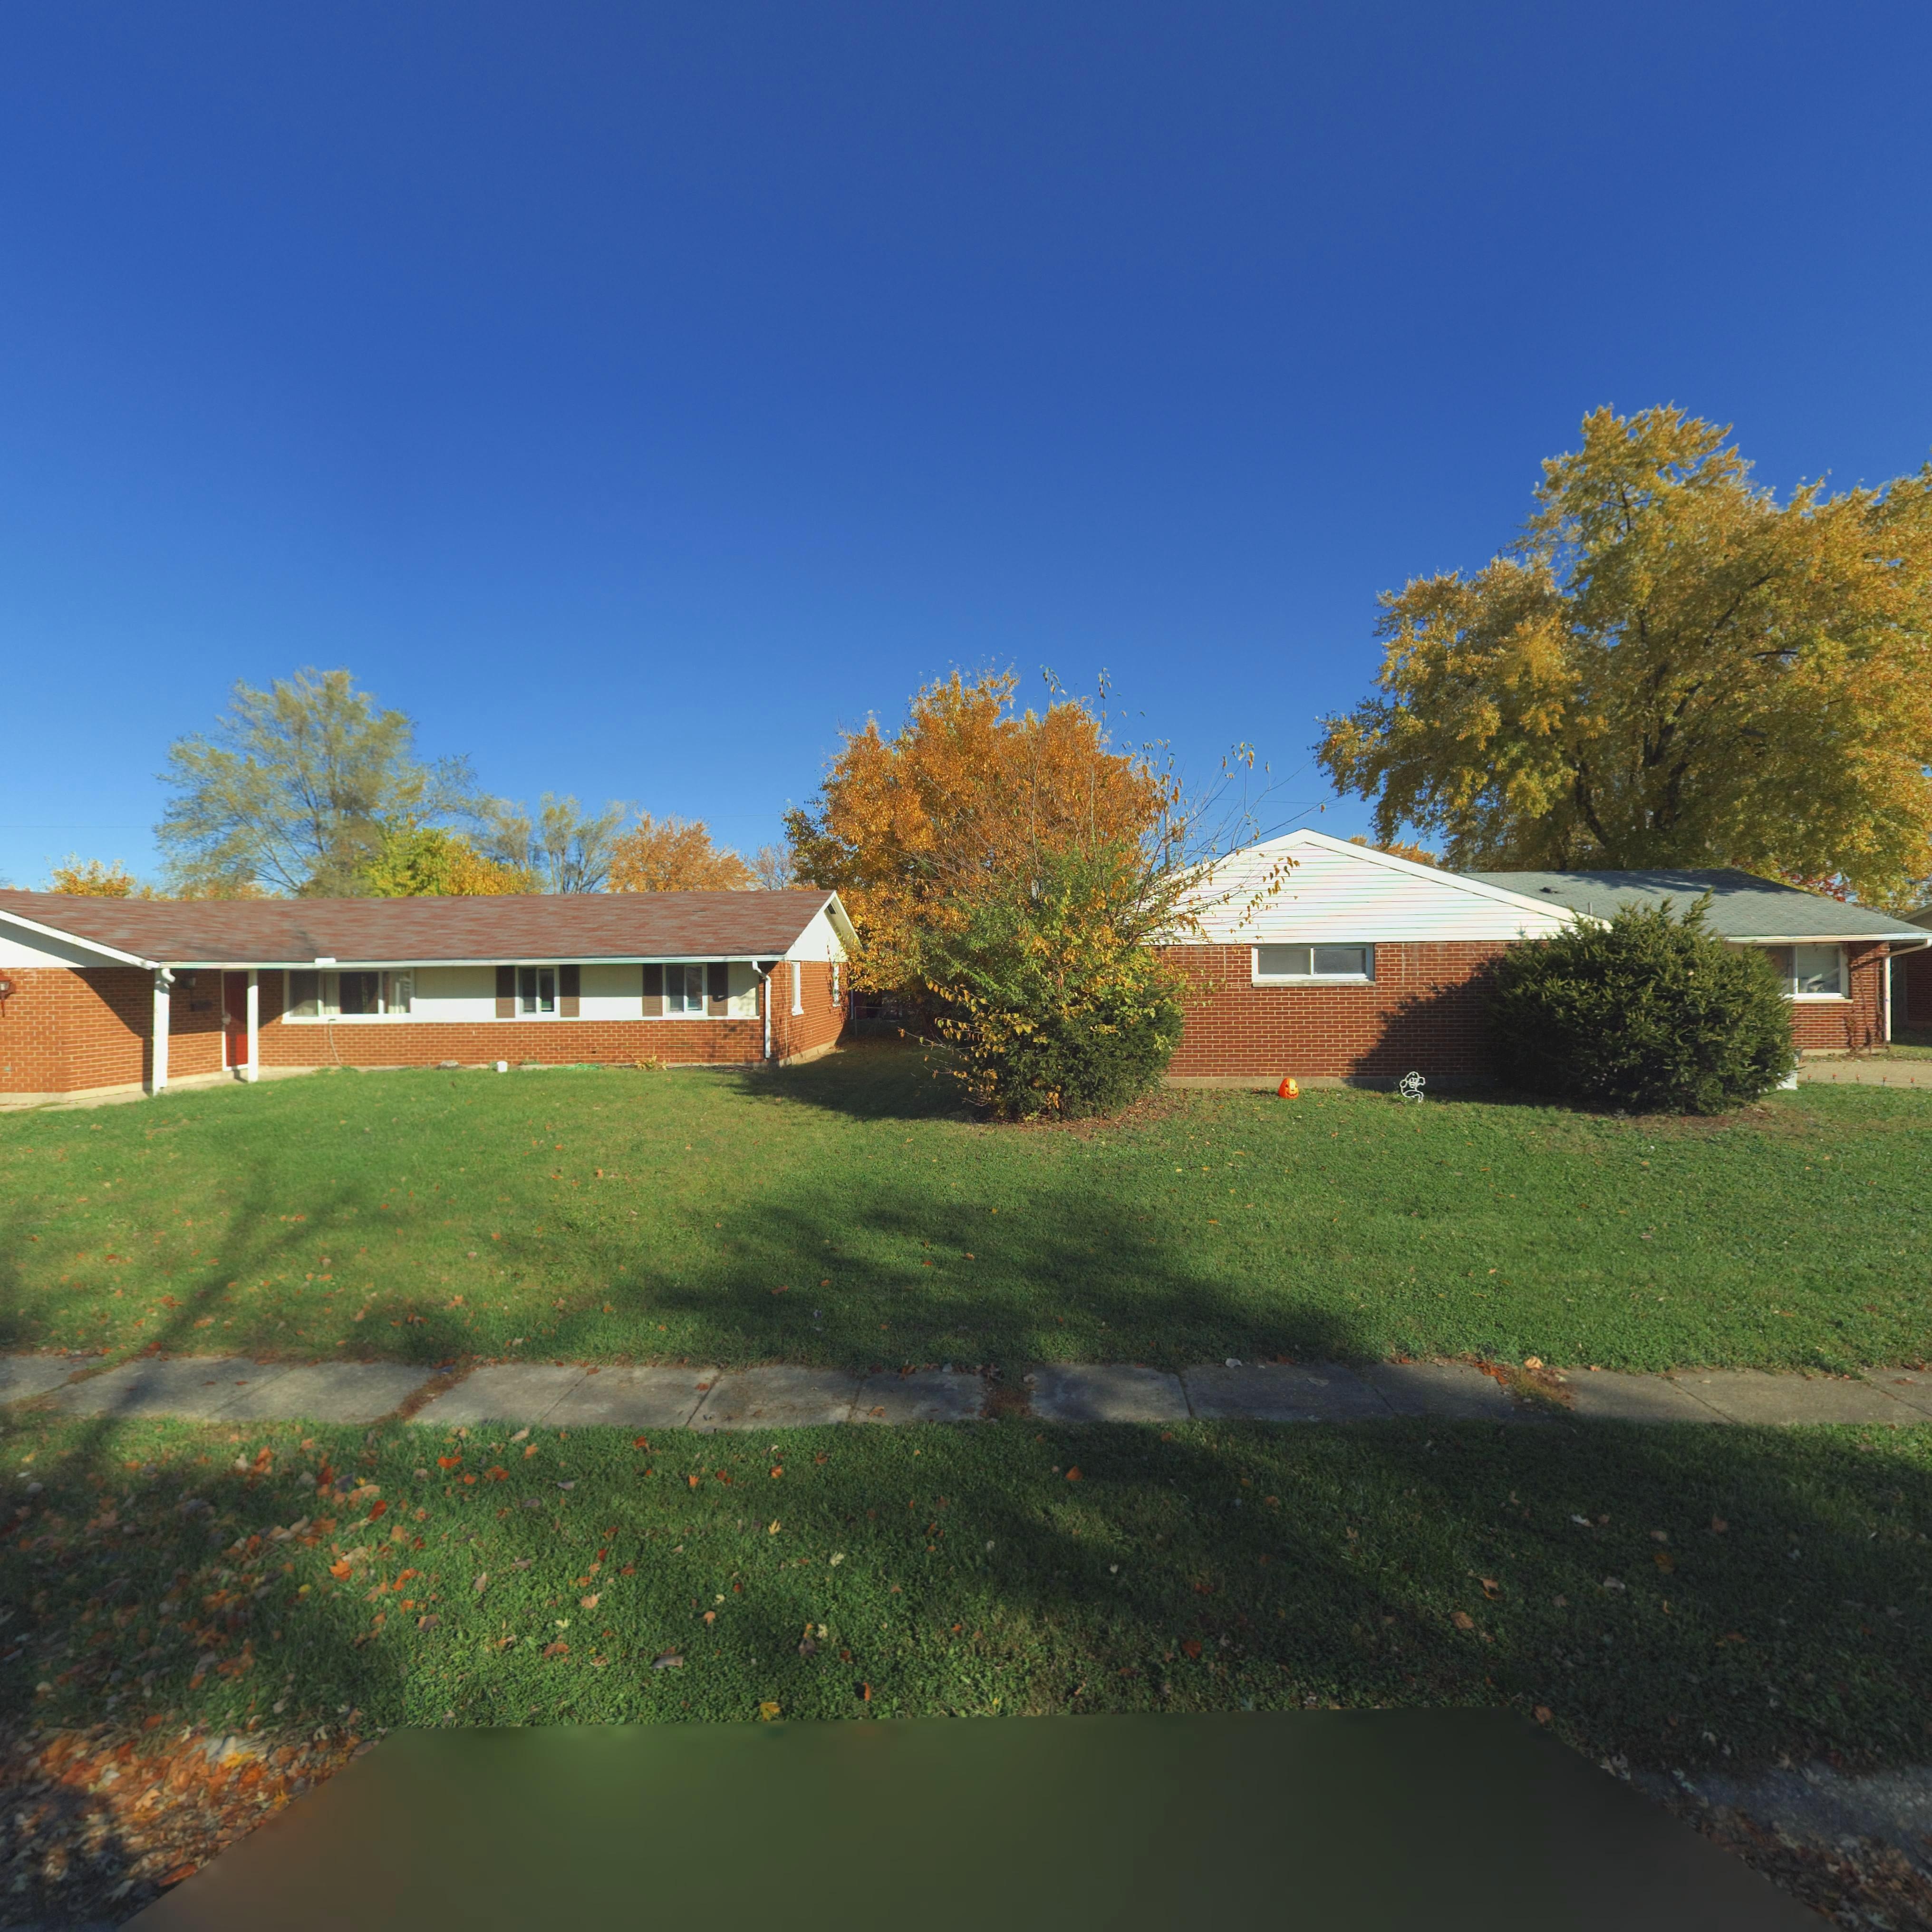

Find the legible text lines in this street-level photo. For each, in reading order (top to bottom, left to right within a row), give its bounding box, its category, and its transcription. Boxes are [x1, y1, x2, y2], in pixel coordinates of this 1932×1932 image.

[154, 1005, 160, 1036] StreetNumber: 6***9